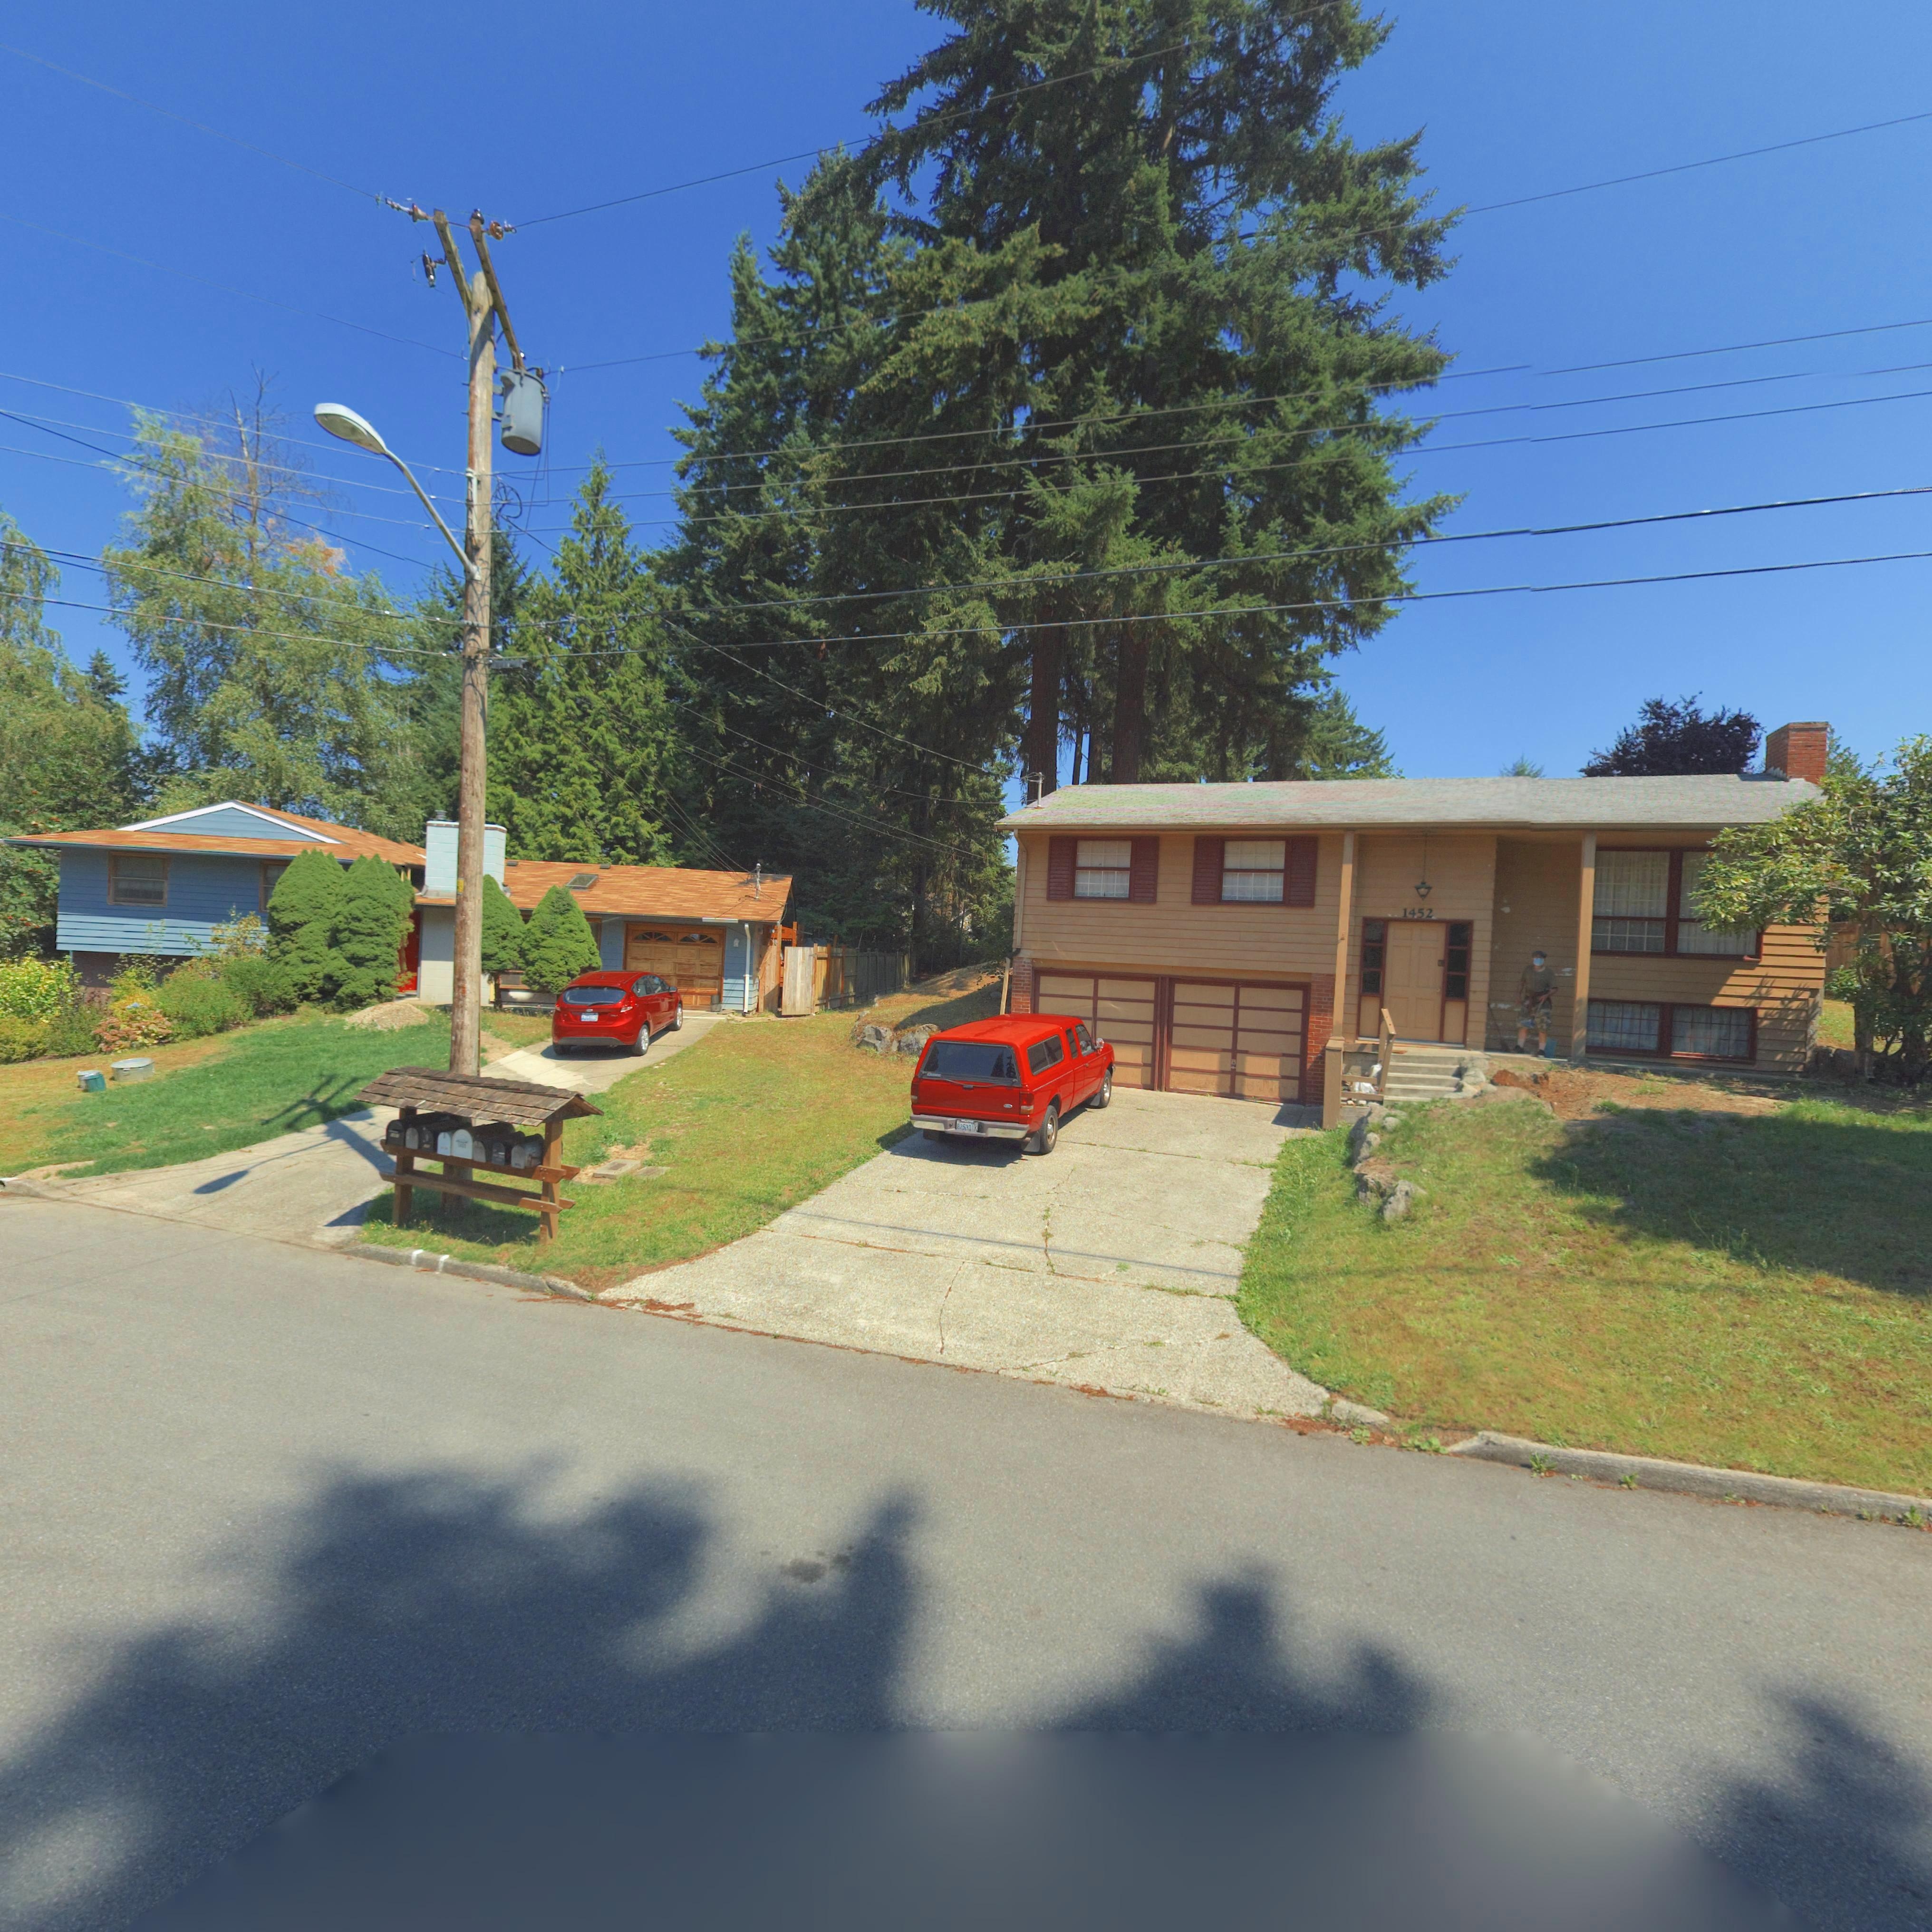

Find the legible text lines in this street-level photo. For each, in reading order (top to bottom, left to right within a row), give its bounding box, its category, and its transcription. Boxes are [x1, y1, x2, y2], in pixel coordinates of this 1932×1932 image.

[1401, 908, 1433, 918] StreetNumber: 1452